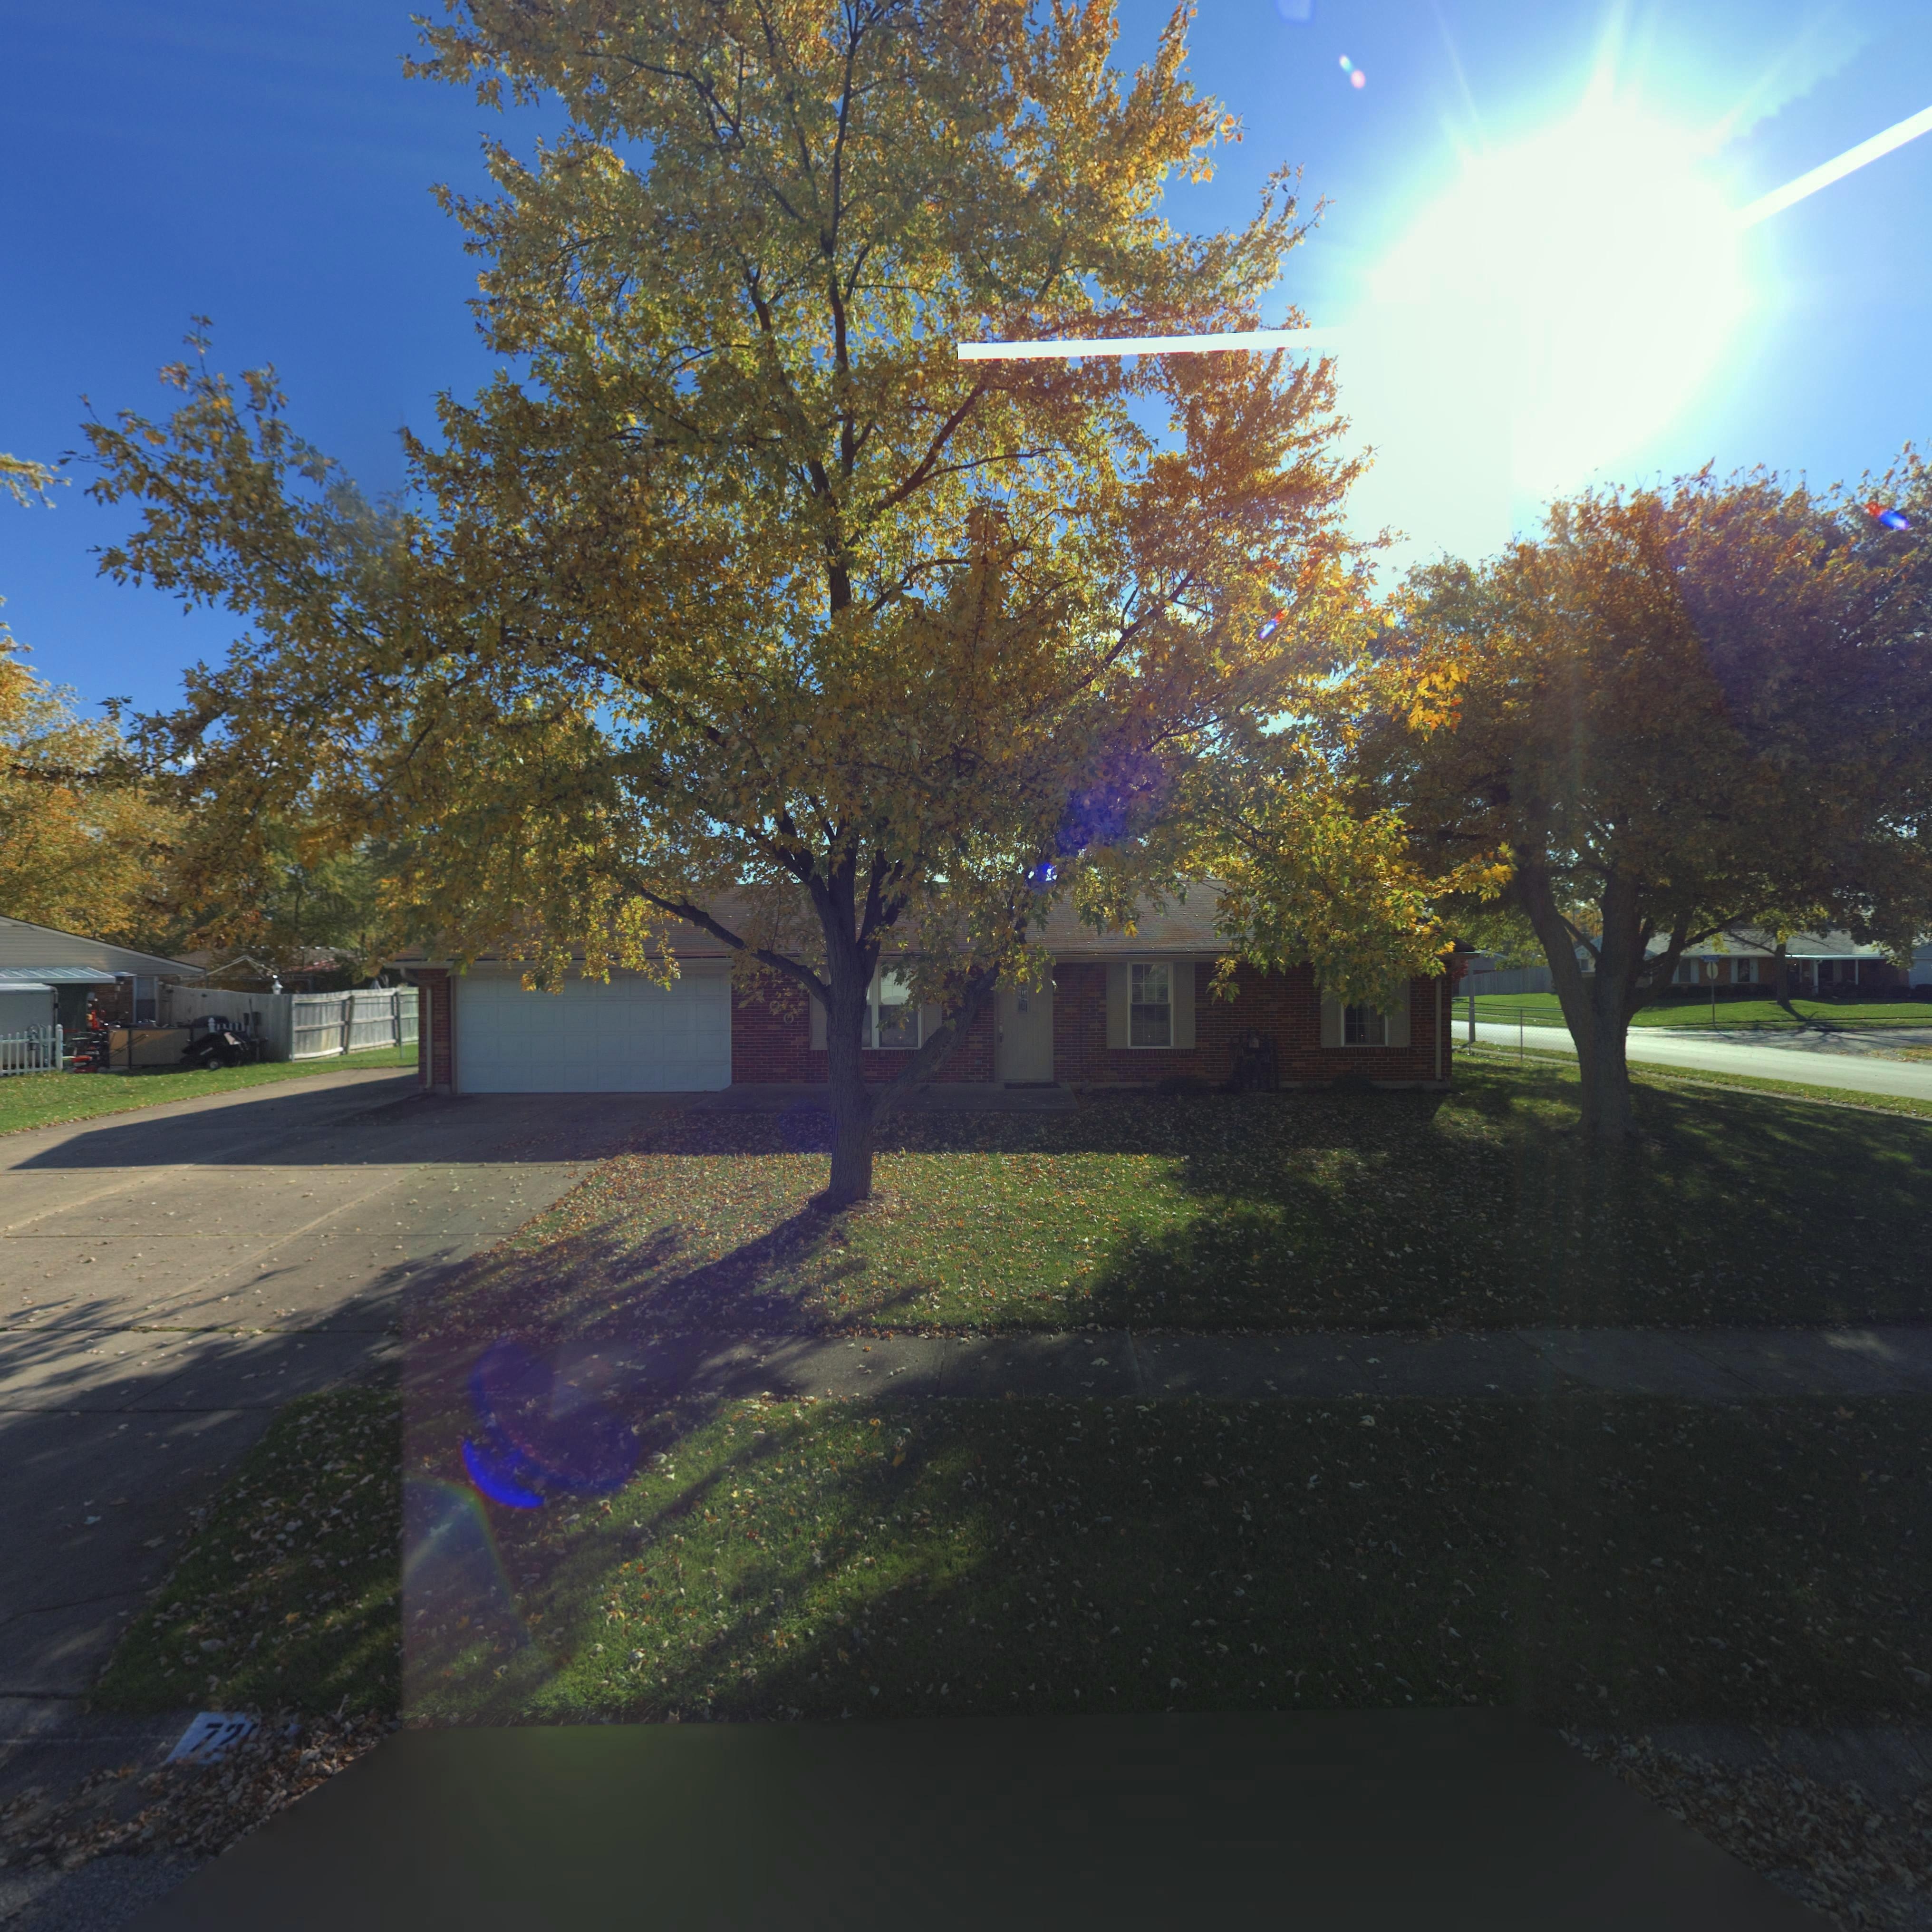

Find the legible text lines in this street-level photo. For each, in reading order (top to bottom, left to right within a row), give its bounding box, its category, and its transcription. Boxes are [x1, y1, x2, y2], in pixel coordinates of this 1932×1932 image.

[184, 1719, 248, 1759] StreetNumber: 7*